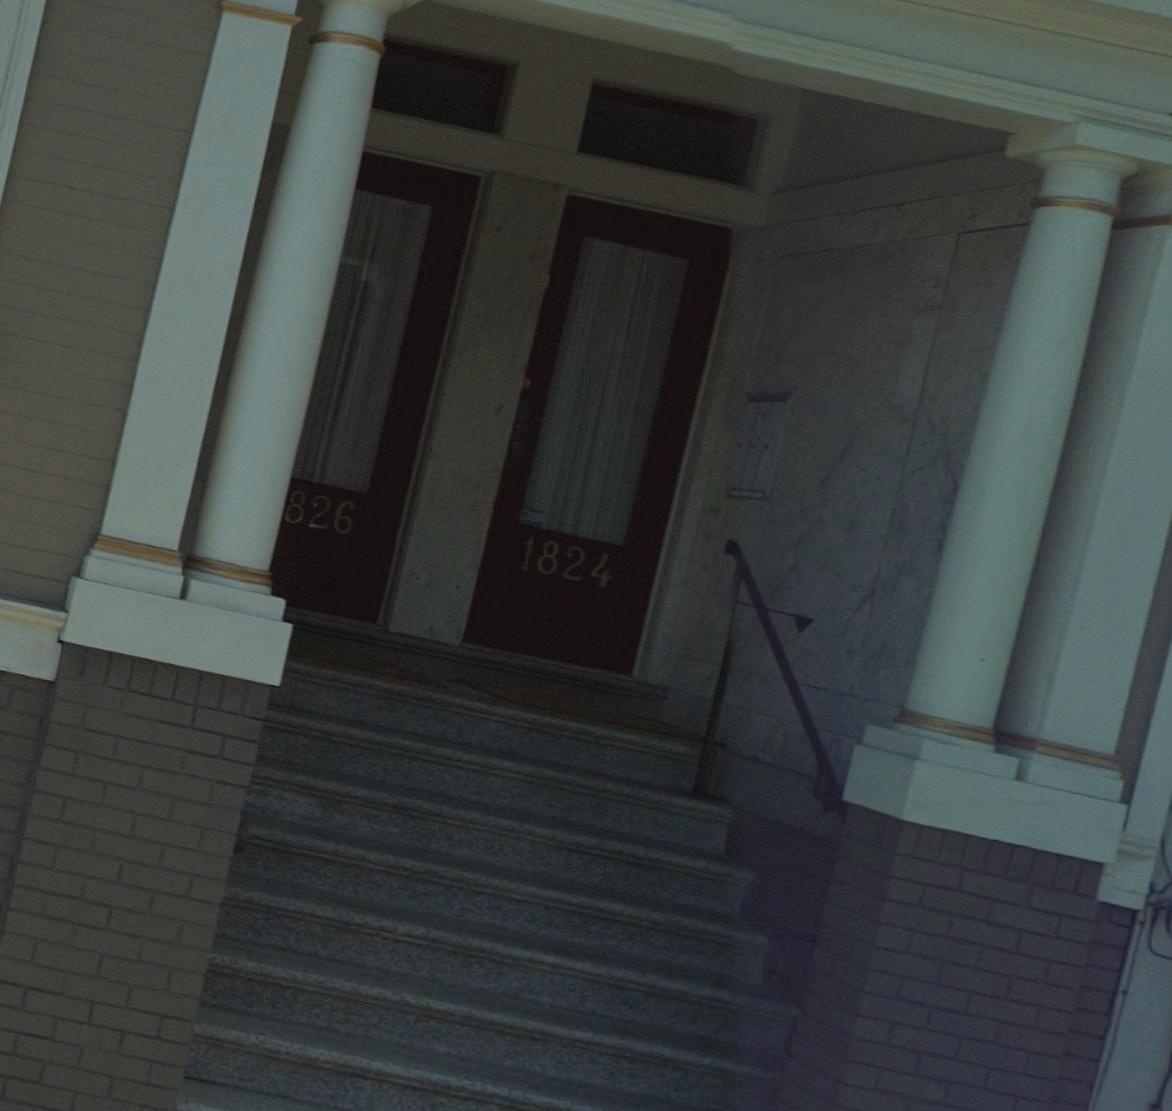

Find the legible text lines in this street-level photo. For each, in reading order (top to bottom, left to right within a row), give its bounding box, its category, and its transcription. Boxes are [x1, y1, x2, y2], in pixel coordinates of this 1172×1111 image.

[281, 488, 357, 537] StreetNumber: 826
[515, 532, 615, 592] StreetNumber: 1824